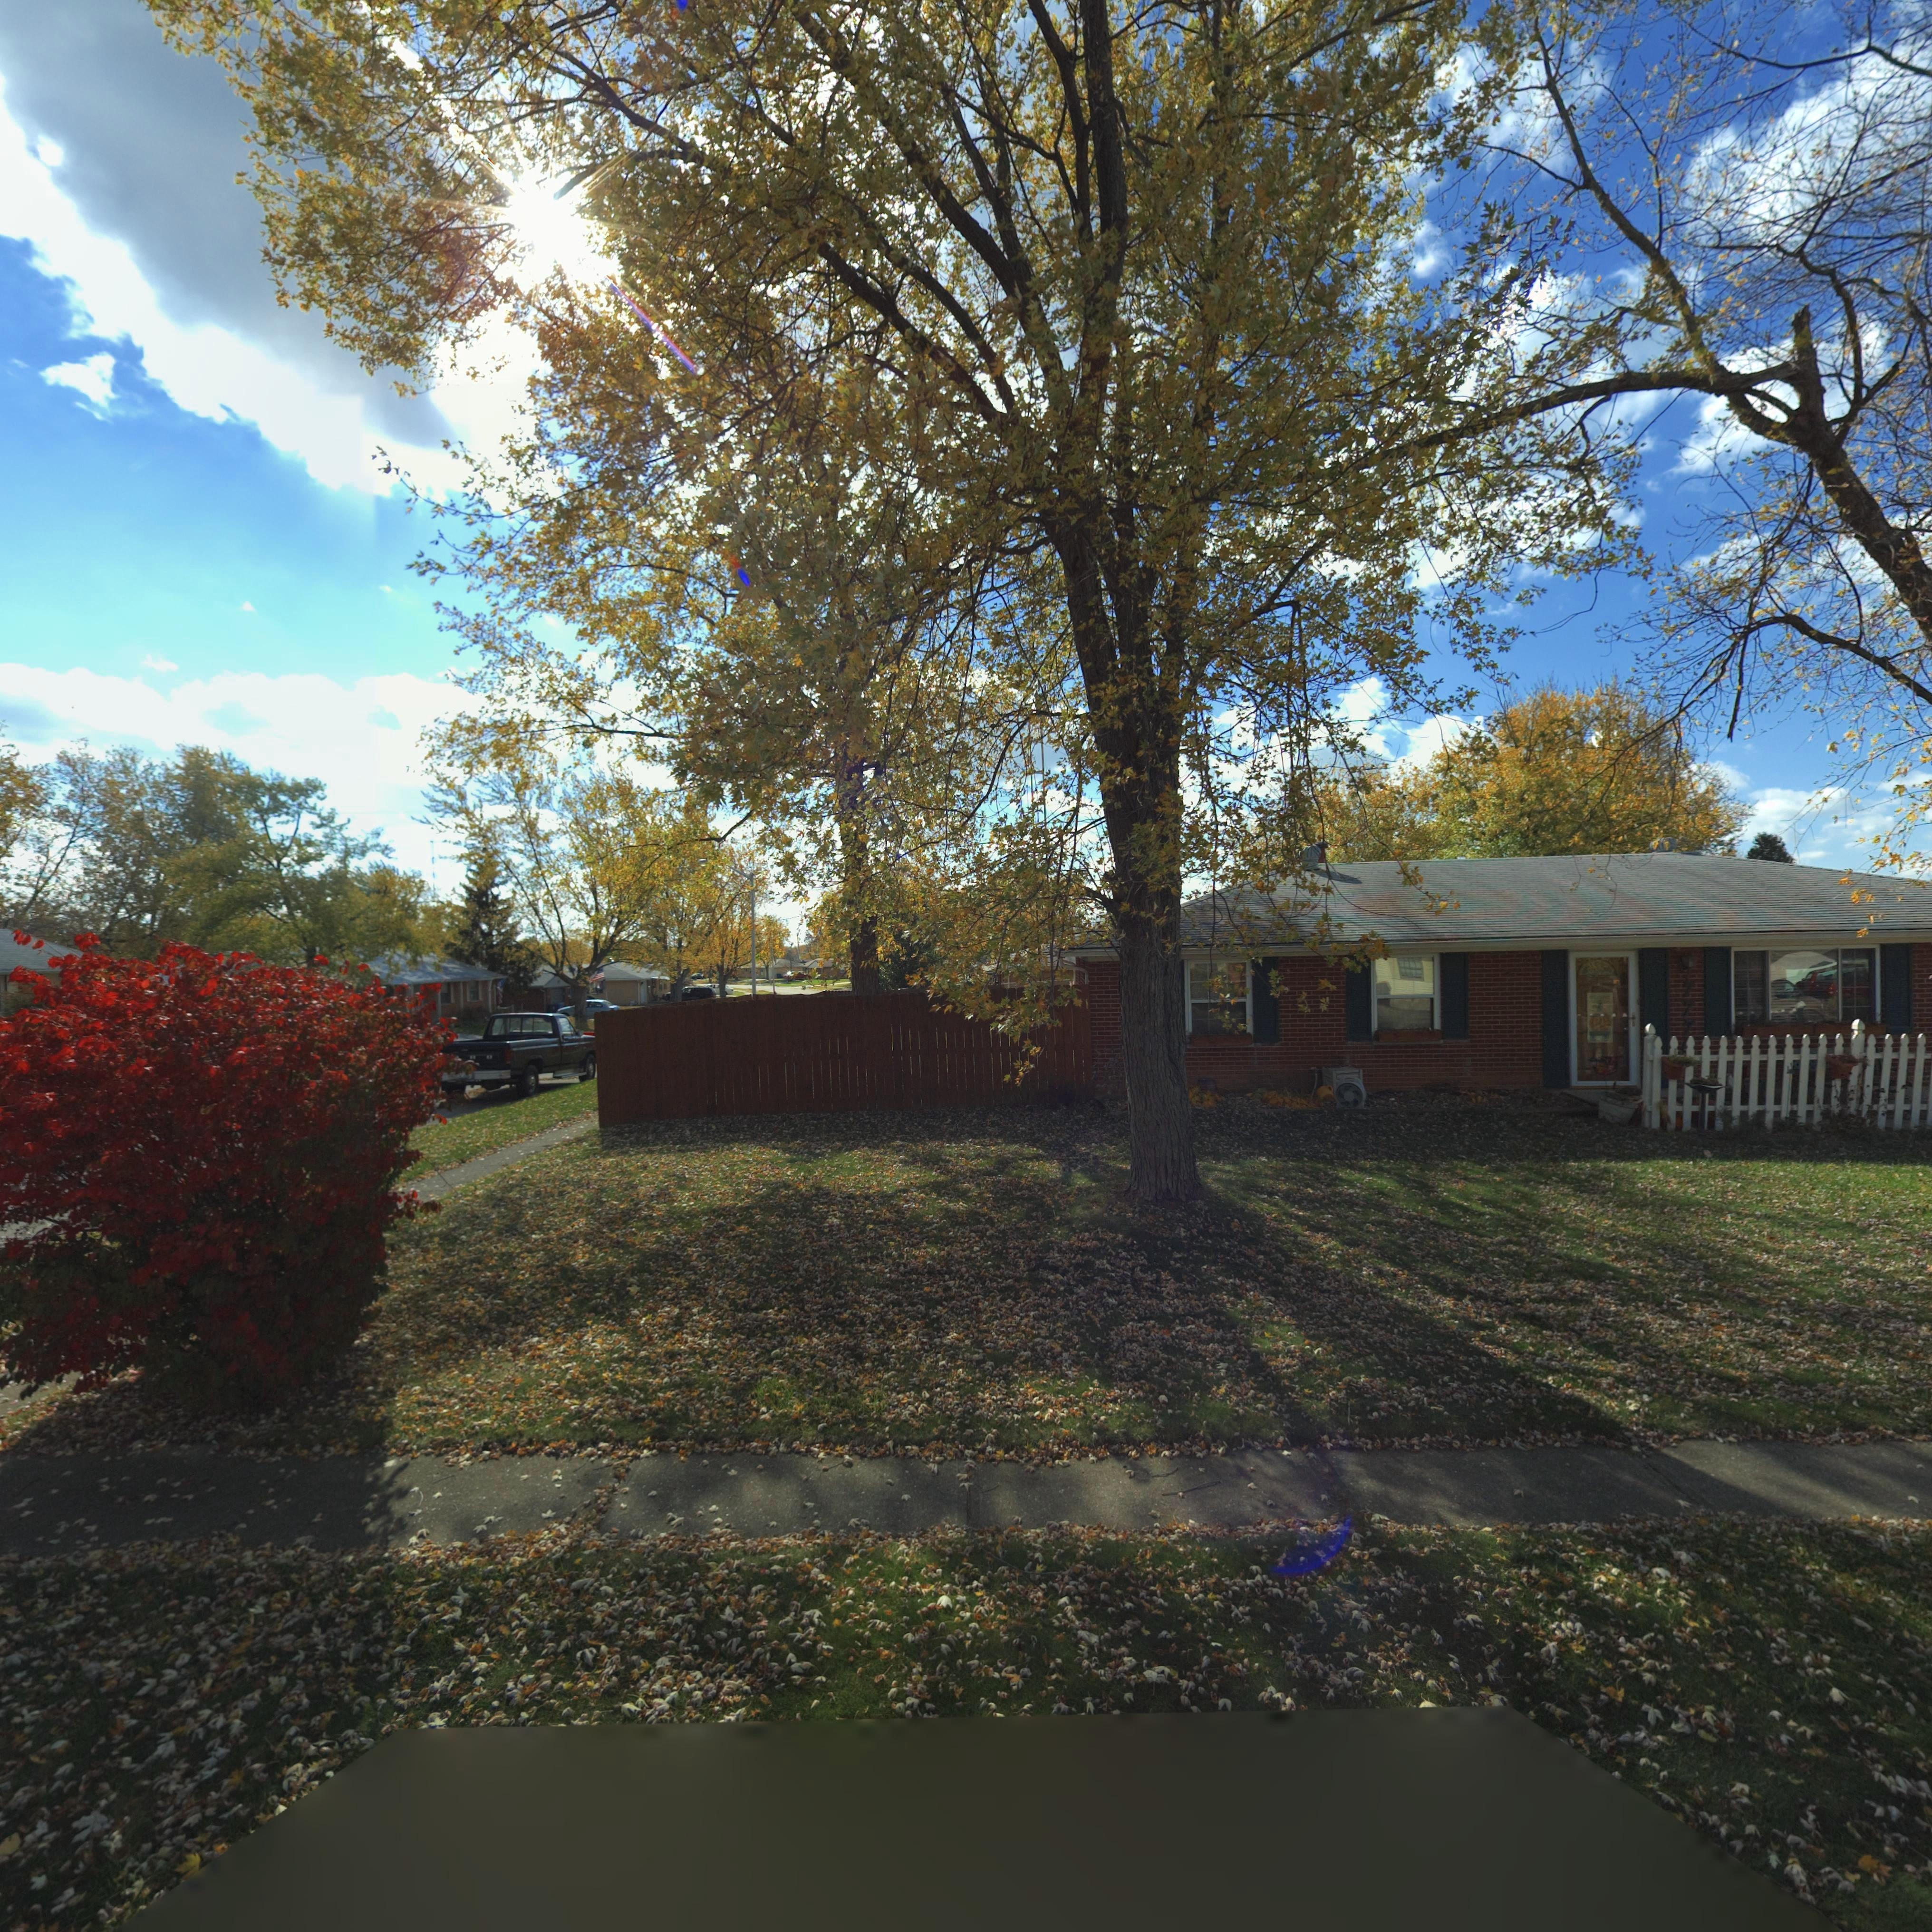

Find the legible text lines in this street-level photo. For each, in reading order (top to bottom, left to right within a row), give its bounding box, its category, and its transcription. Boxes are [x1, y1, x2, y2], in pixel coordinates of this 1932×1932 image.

[1681, 980, 1696, 1037] StreetNumber: 777